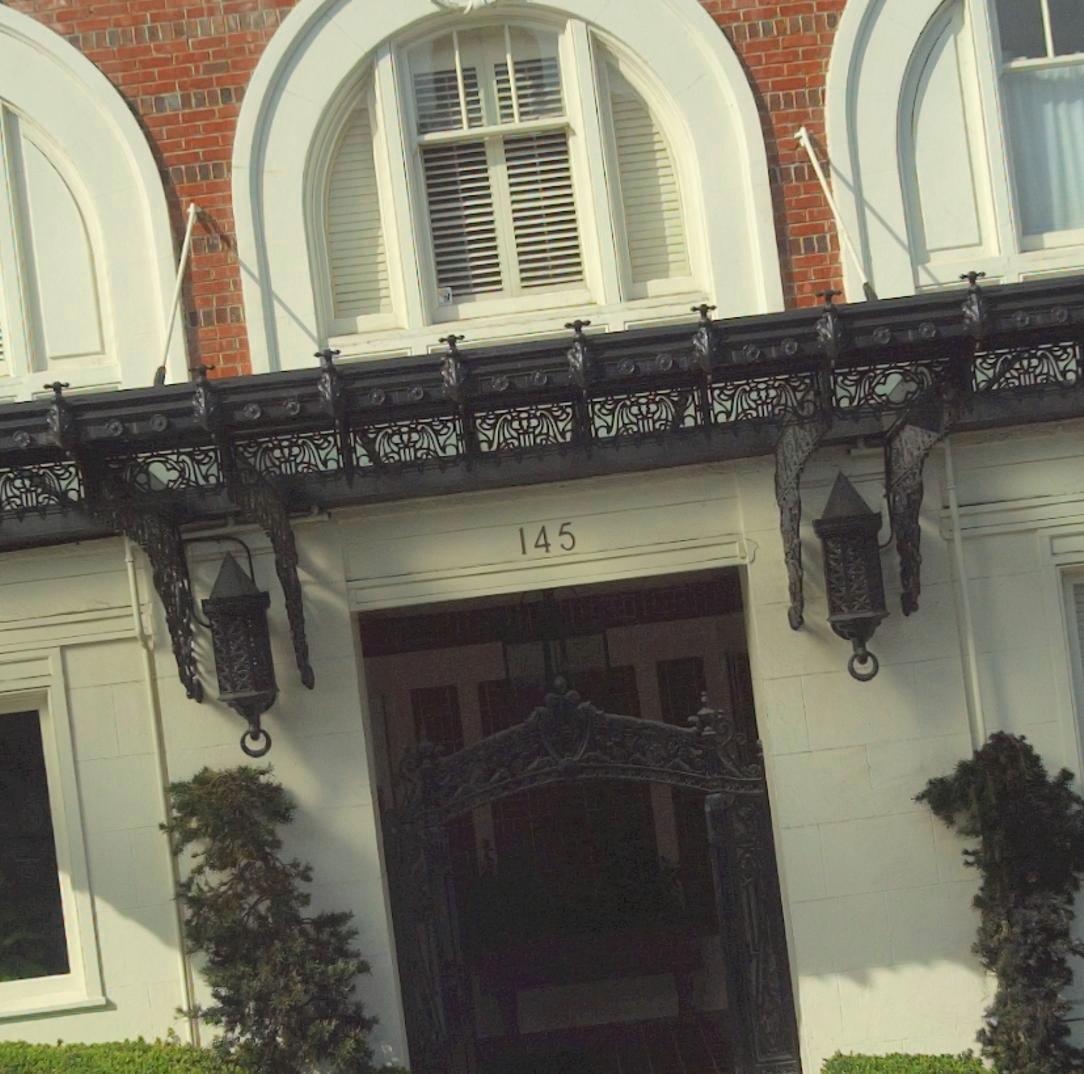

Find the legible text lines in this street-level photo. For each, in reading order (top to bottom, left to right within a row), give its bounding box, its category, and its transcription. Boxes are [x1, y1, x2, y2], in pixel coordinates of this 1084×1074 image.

[514, 517, 582, 559] StreetNumber: 145